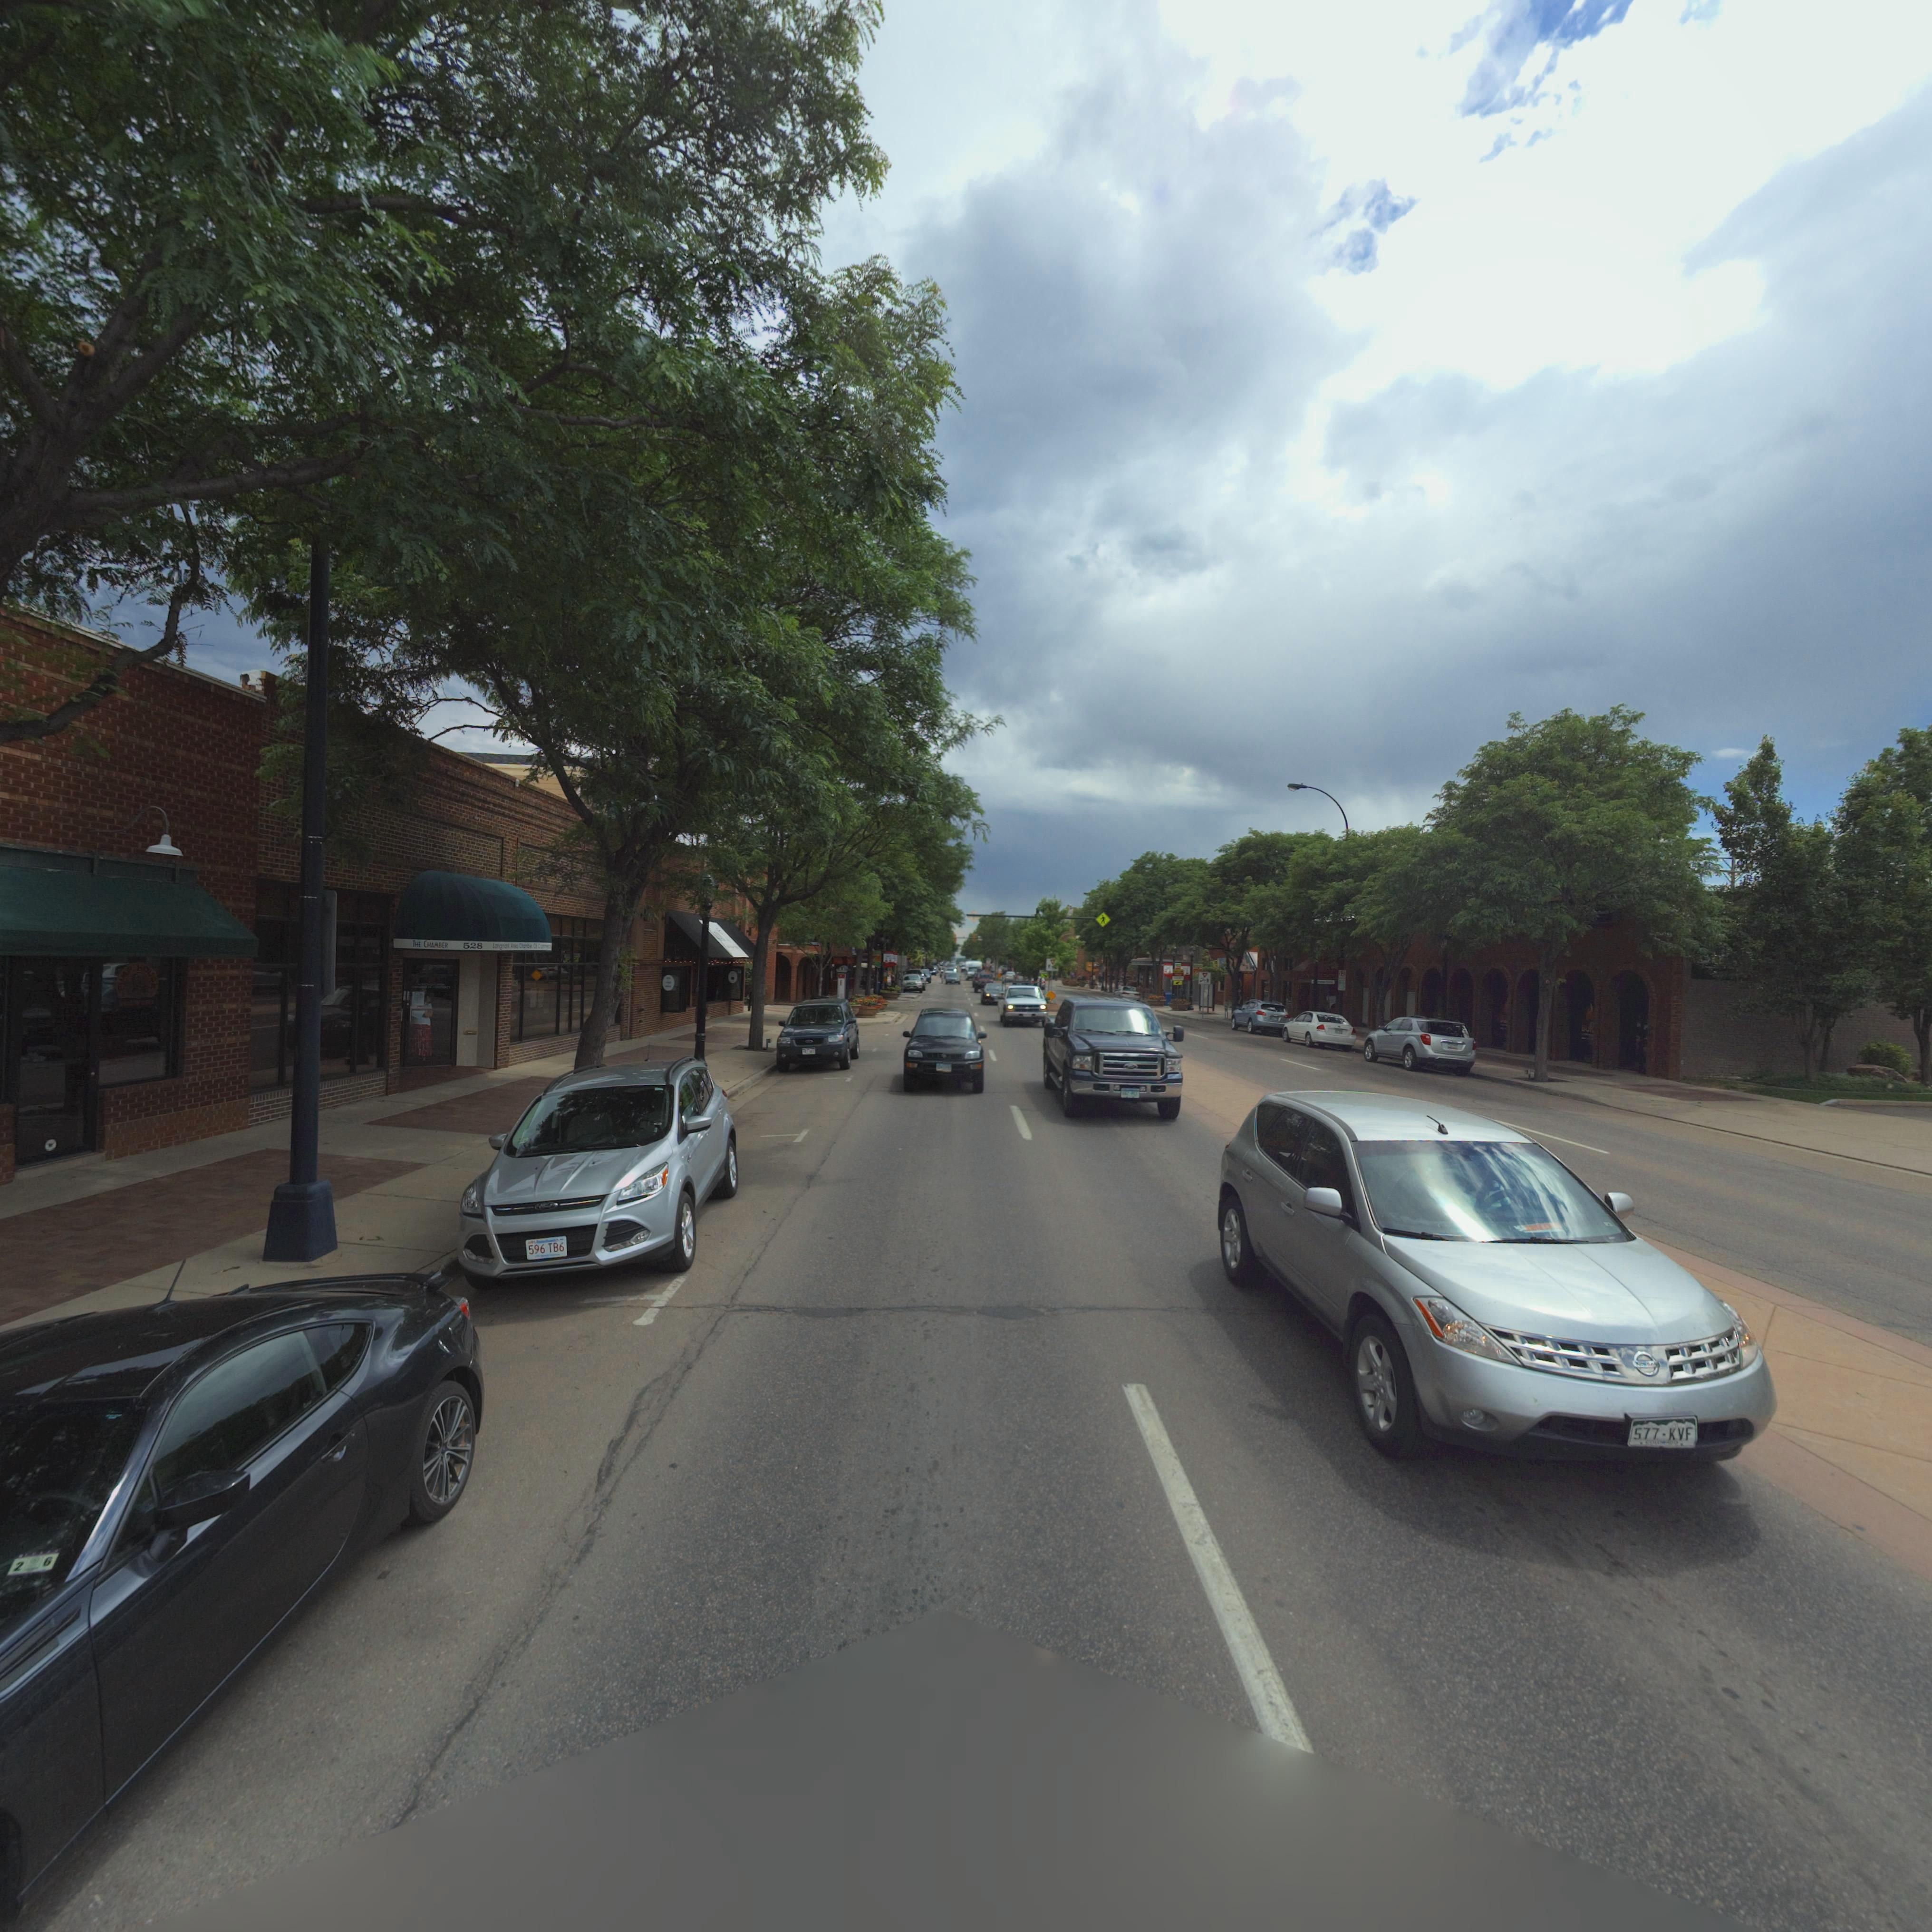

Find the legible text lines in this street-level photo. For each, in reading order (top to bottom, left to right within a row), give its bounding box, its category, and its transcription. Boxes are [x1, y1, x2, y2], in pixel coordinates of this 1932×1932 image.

[463, 942, 483, 949] StreetNumber: 528
[492, 942, 542, 950] StreetNumber: Longmont Area Of Co